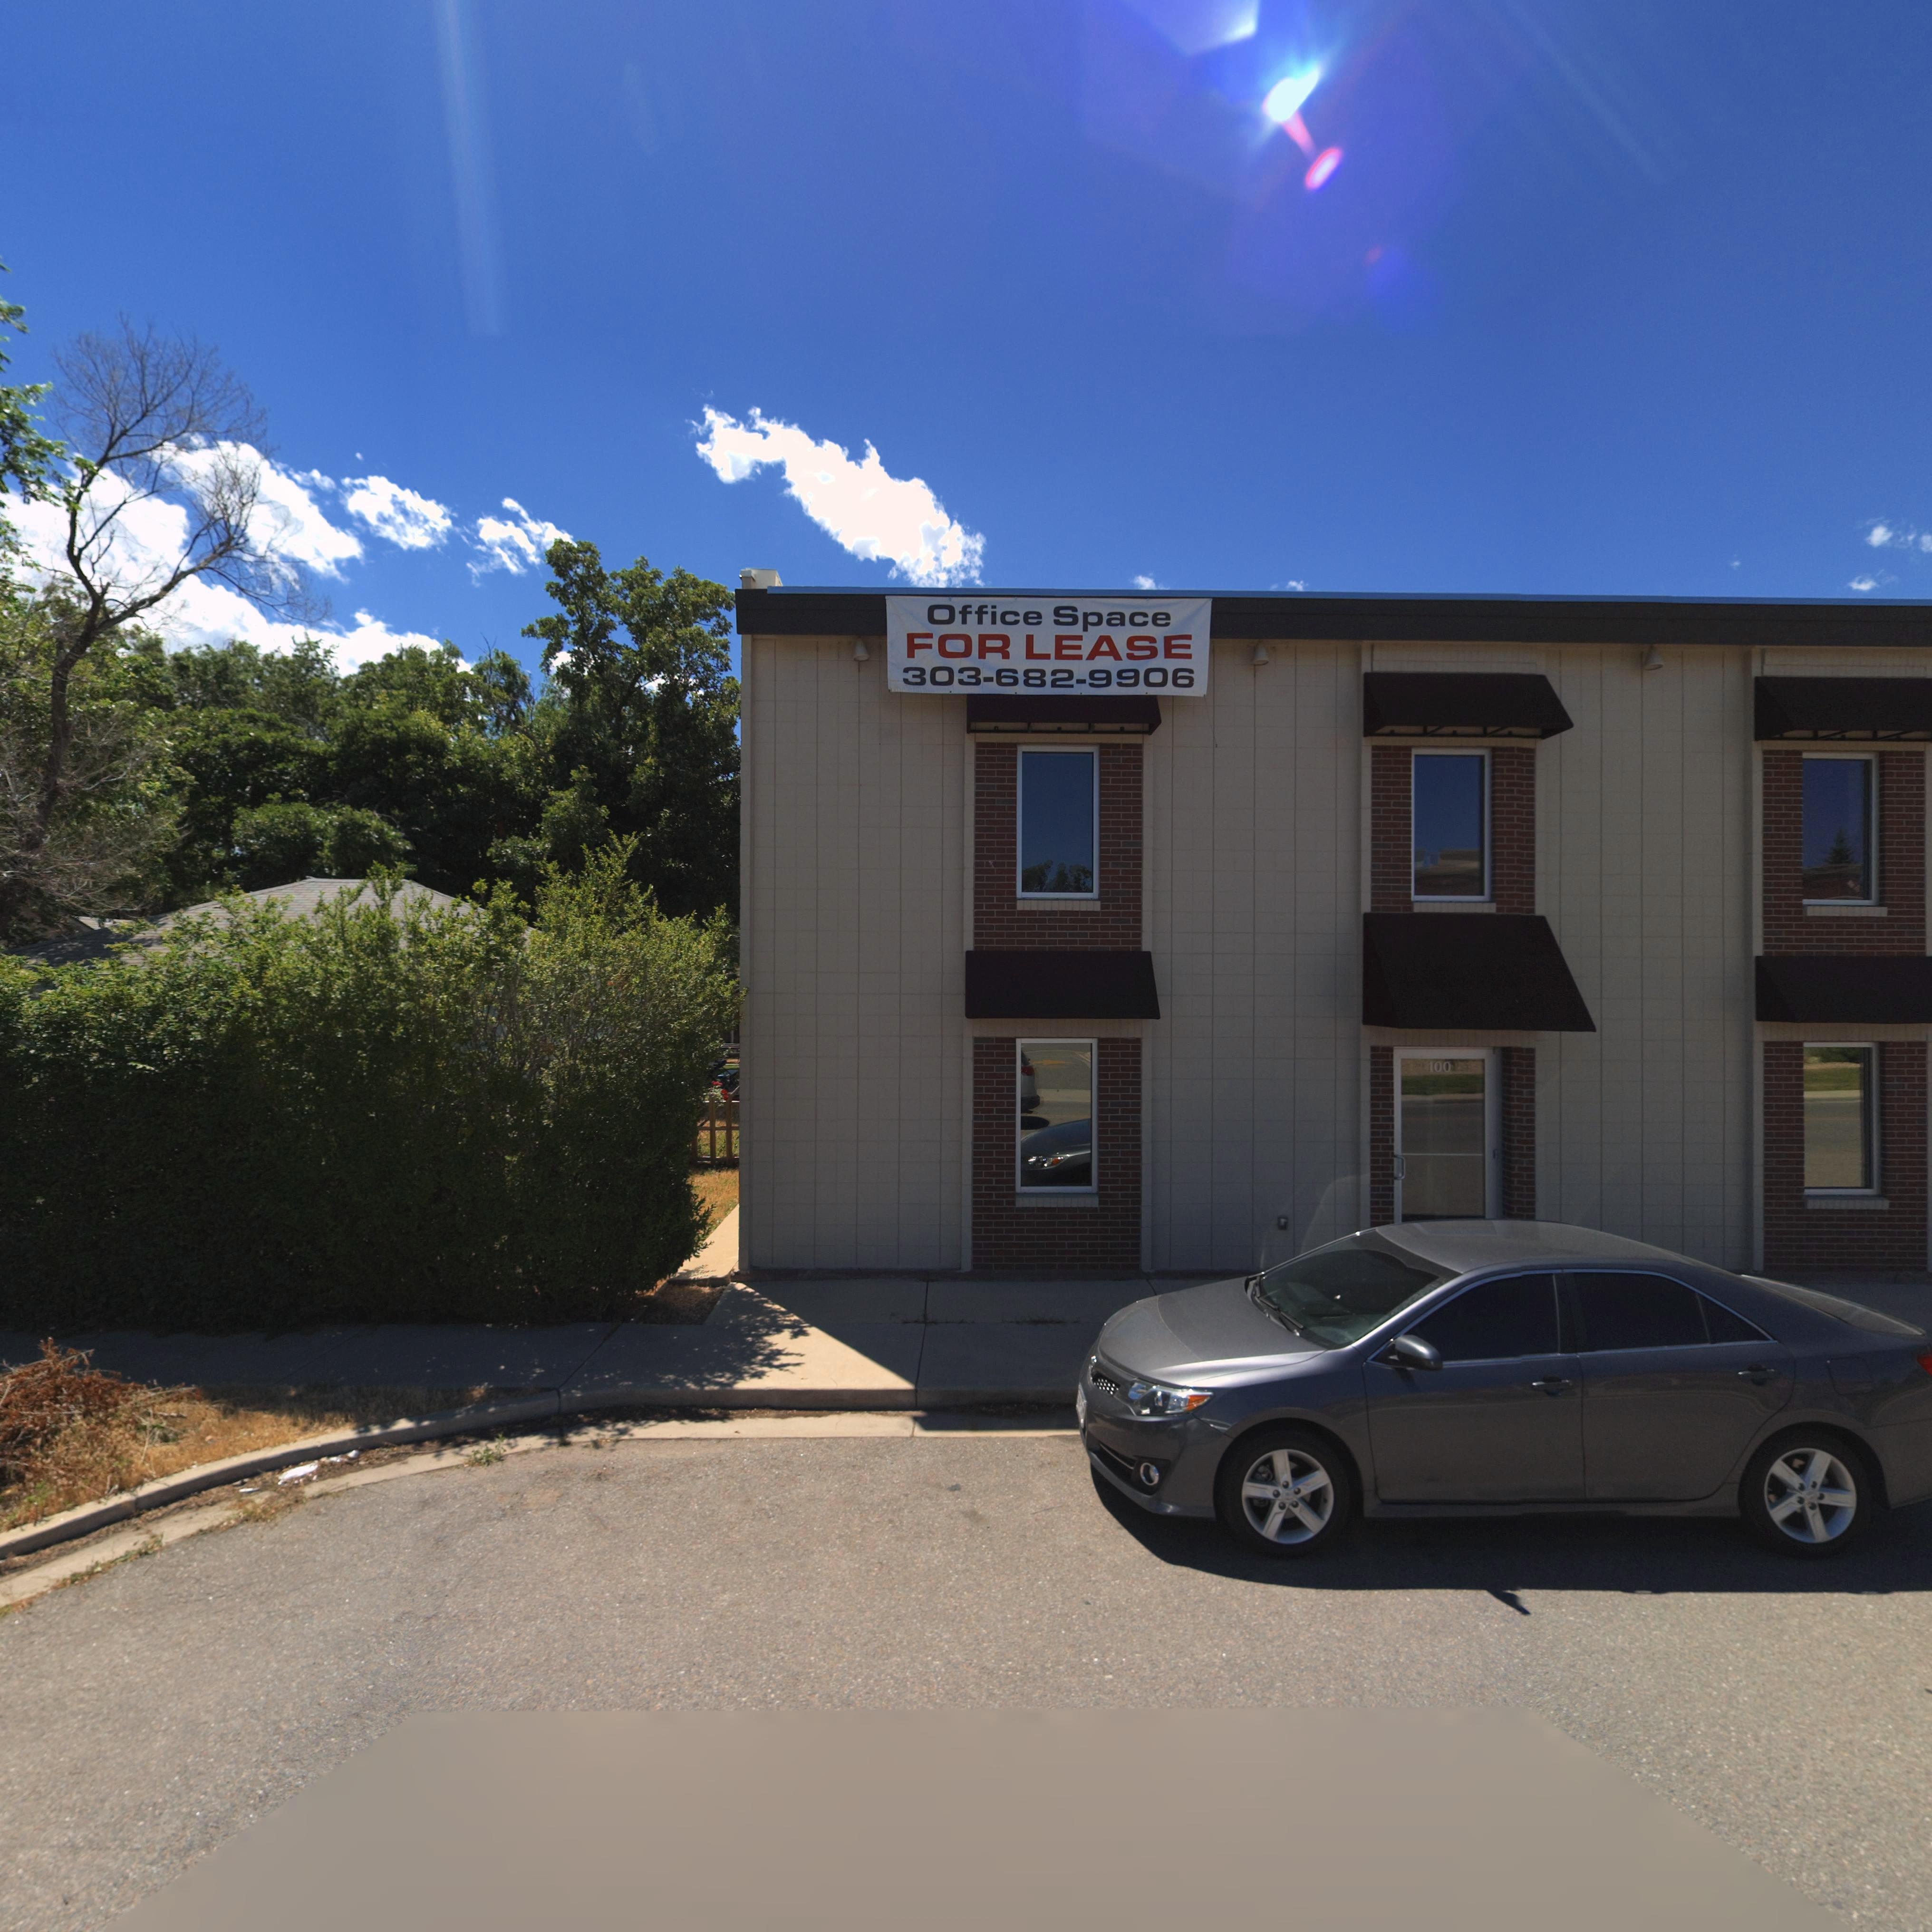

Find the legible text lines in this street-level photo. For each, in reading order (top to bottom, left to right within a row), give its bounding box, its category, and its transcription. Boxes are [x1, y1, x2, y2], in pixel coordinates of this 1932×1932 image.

[907, 632, 1193, 662] BusinessName: FOR LEASE
[1428, 1061, 1451, 1072] StreetNumber: 100